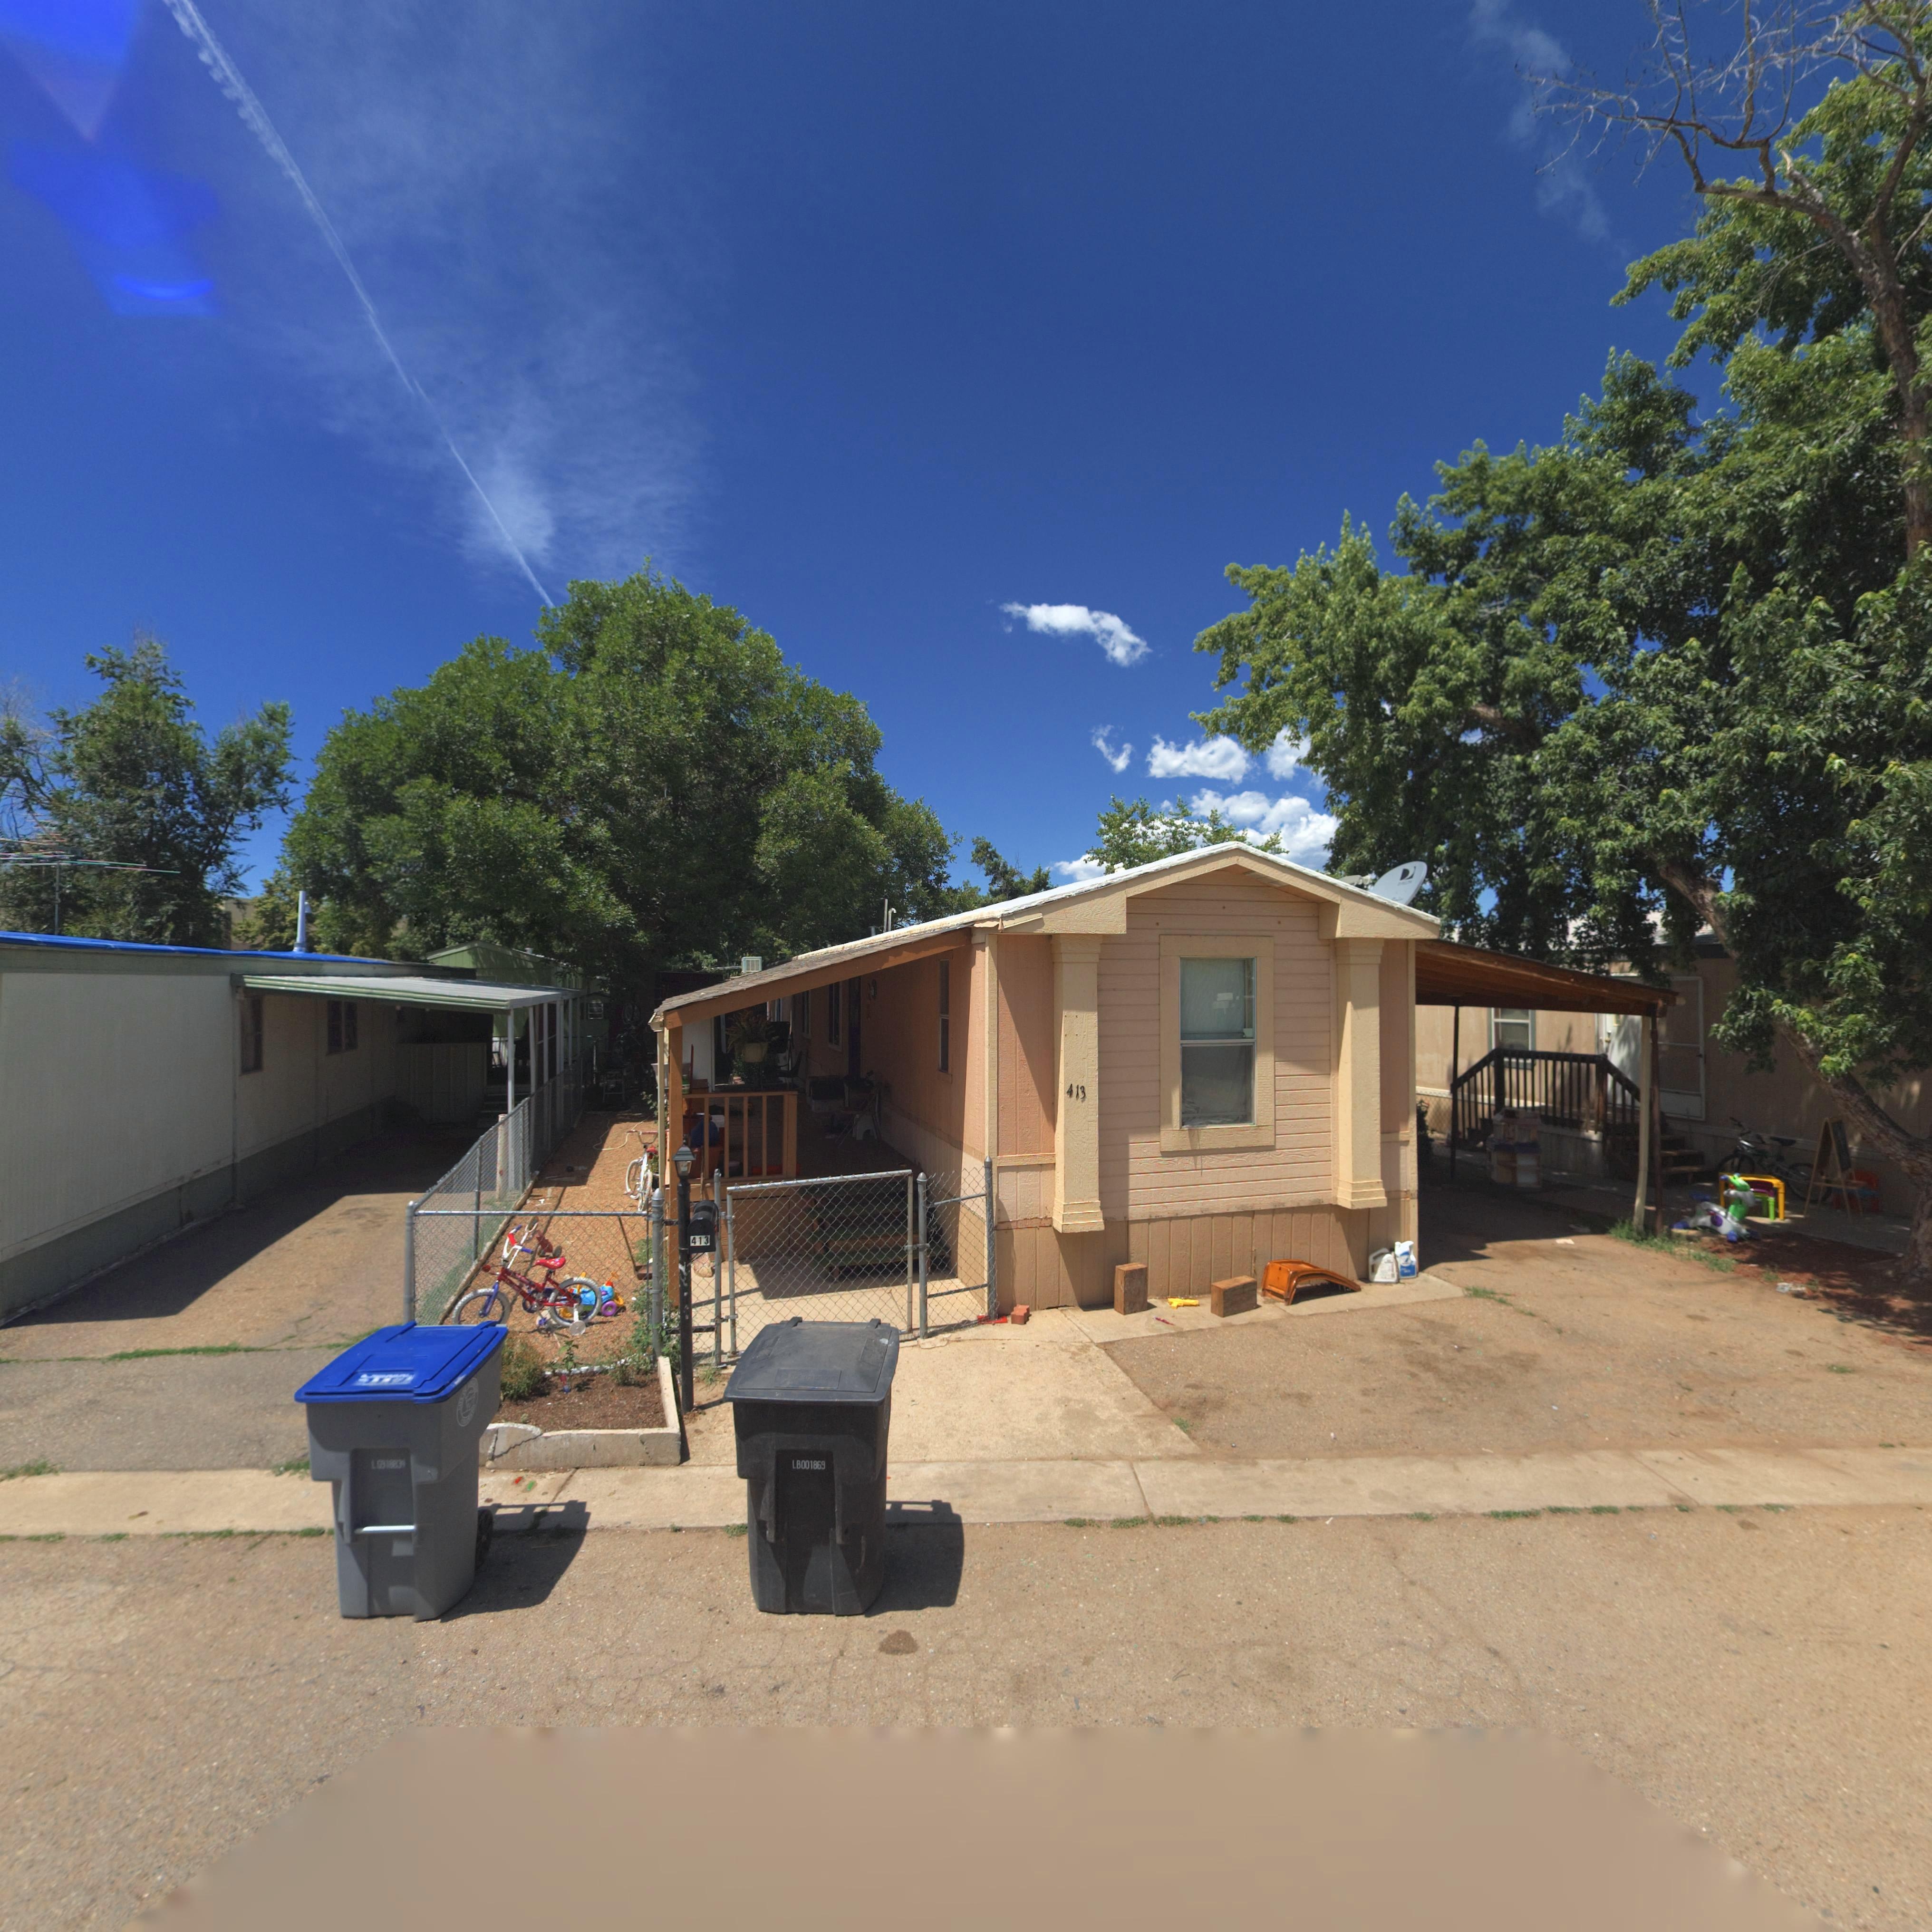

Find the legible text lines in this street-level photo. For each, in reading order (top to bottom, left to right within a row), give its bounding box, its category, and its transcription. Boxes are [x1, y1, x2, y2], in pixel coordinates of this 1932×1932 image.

[1066, 1083, 1086, 1099] StreetNumber: 413
[691, 1236, 708, 1245] StreetNumber: 413